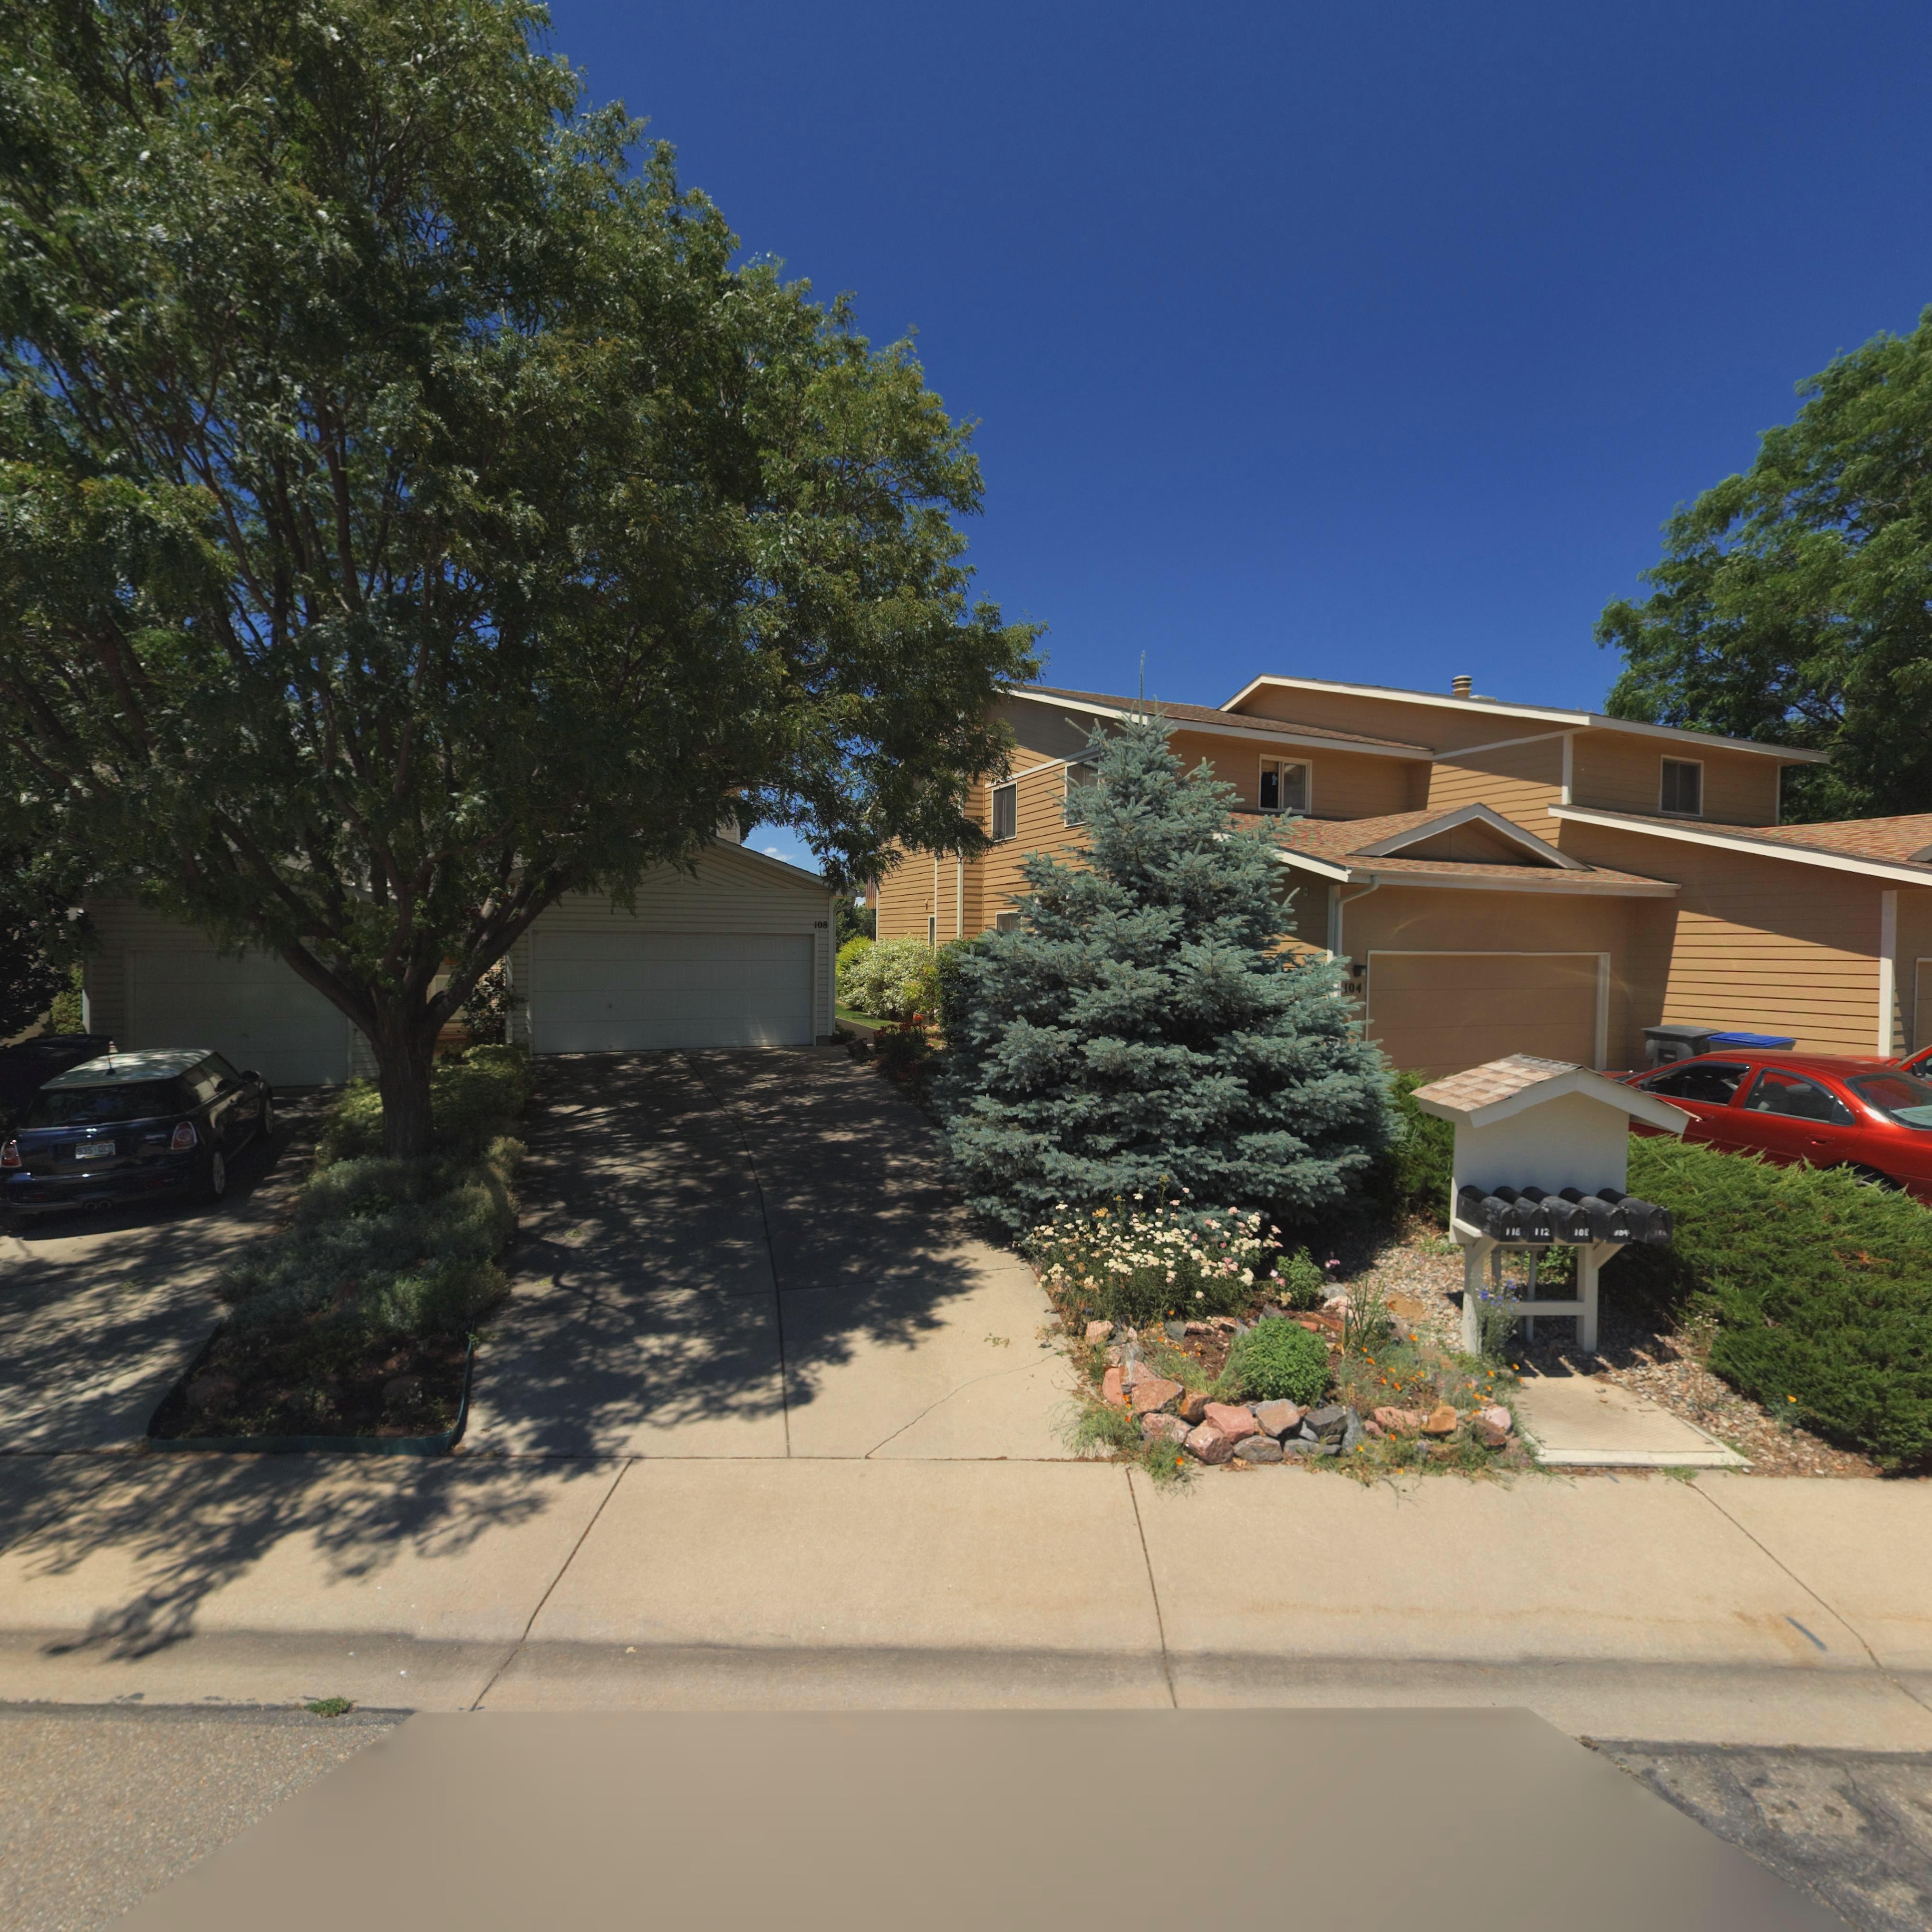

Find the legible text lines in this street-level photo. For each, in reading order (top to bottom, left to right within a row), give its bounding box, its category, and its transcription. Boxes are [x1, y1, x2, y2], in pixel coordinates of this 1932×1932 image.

[814, 920, 828, 929] StreetNumber: 108
[1344, 982, 1362, 994] StreetNumber: 104
[1505, 1227, 1521, 1236] StreetNumber: 116
[1534, 1227, 1551, 1236] StreetNumber: 112
[1575, 1227, 1589, 1237] StreetNumber: 108
[1612, 1229, 1631, 1237] StreetNumber: 104
[1654, 1228, 1668, 1236] StreetNumber: 100